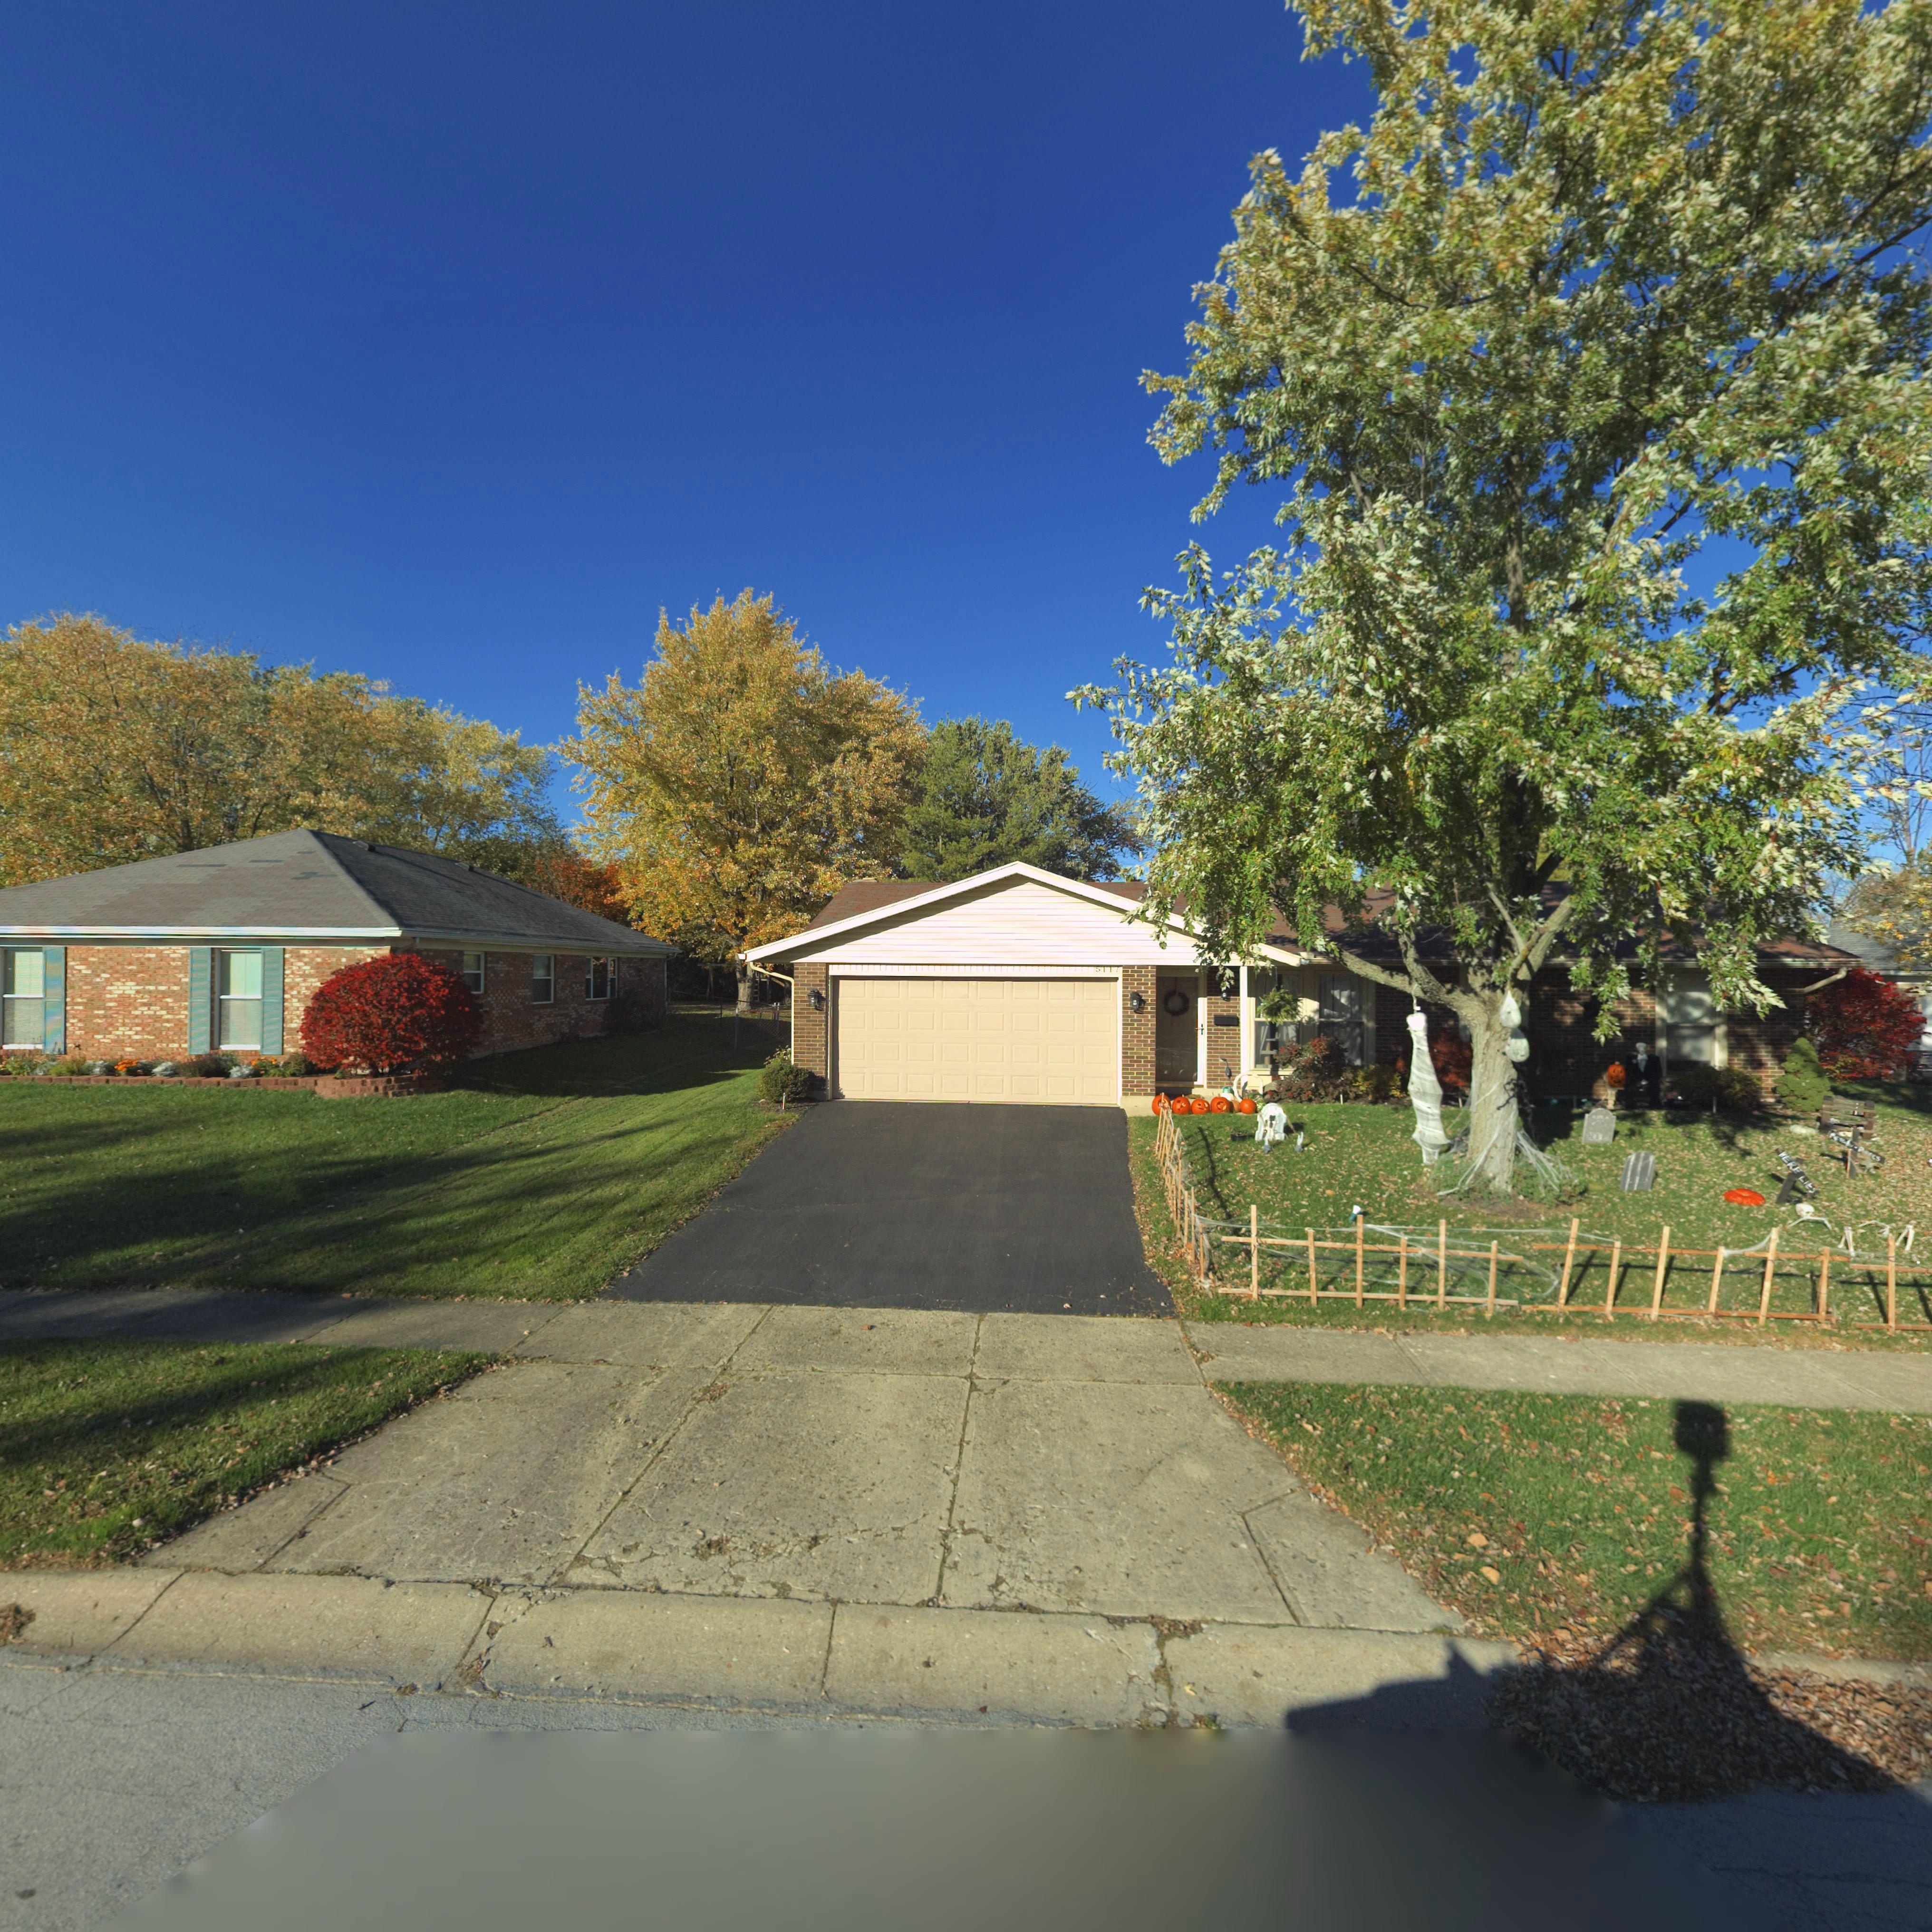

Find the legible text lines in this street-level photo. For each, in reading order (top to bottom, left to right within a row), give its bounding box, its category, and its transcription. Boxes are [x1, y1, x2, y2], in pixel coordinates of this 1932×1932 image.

[1095, 965, 1120, 973] StreetNumber: 5117